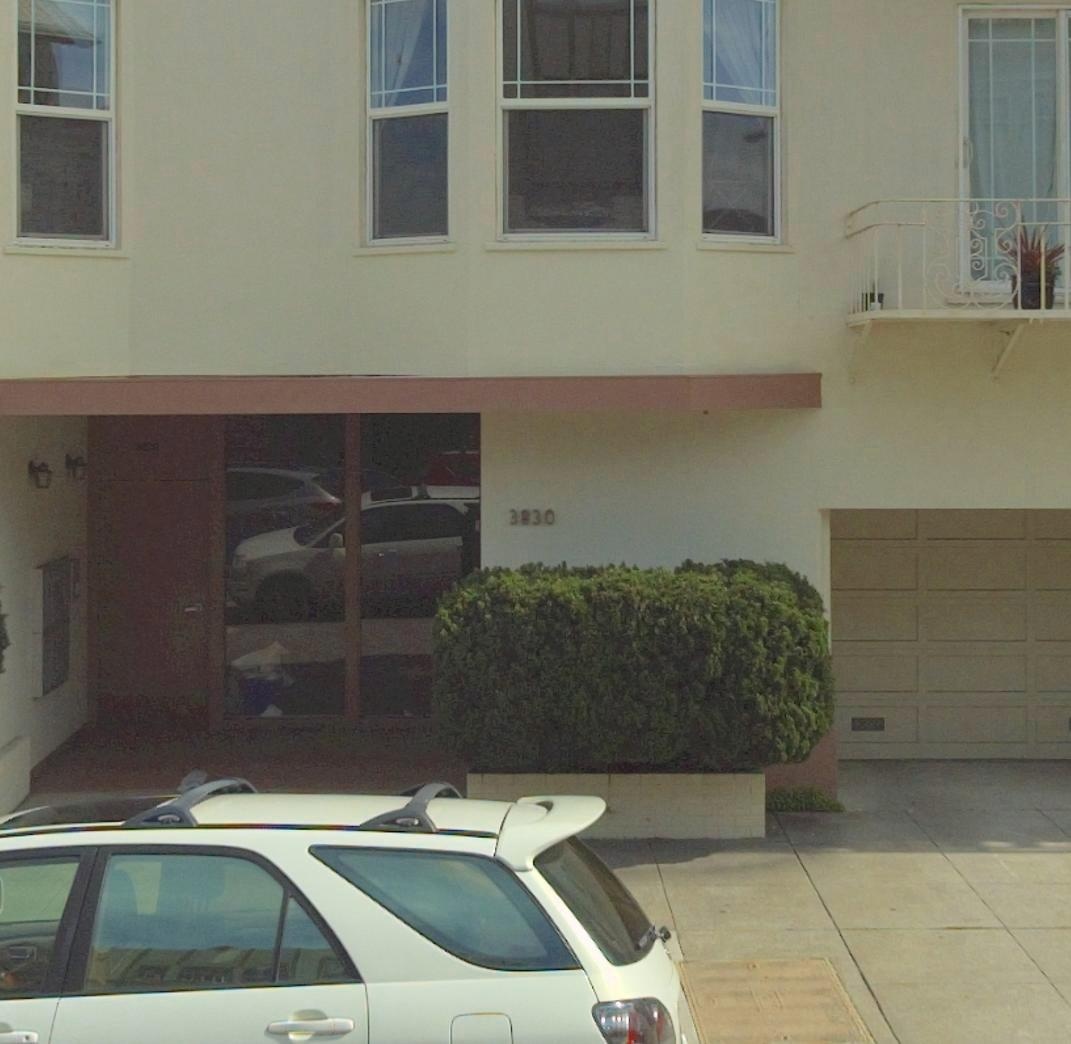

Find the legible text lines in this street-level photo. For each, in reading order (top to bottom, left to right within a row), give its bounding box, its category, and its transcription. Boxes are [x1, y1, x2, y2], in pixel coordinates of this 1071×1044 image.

[507, 506, 557, 528] StreetNumber: 3830